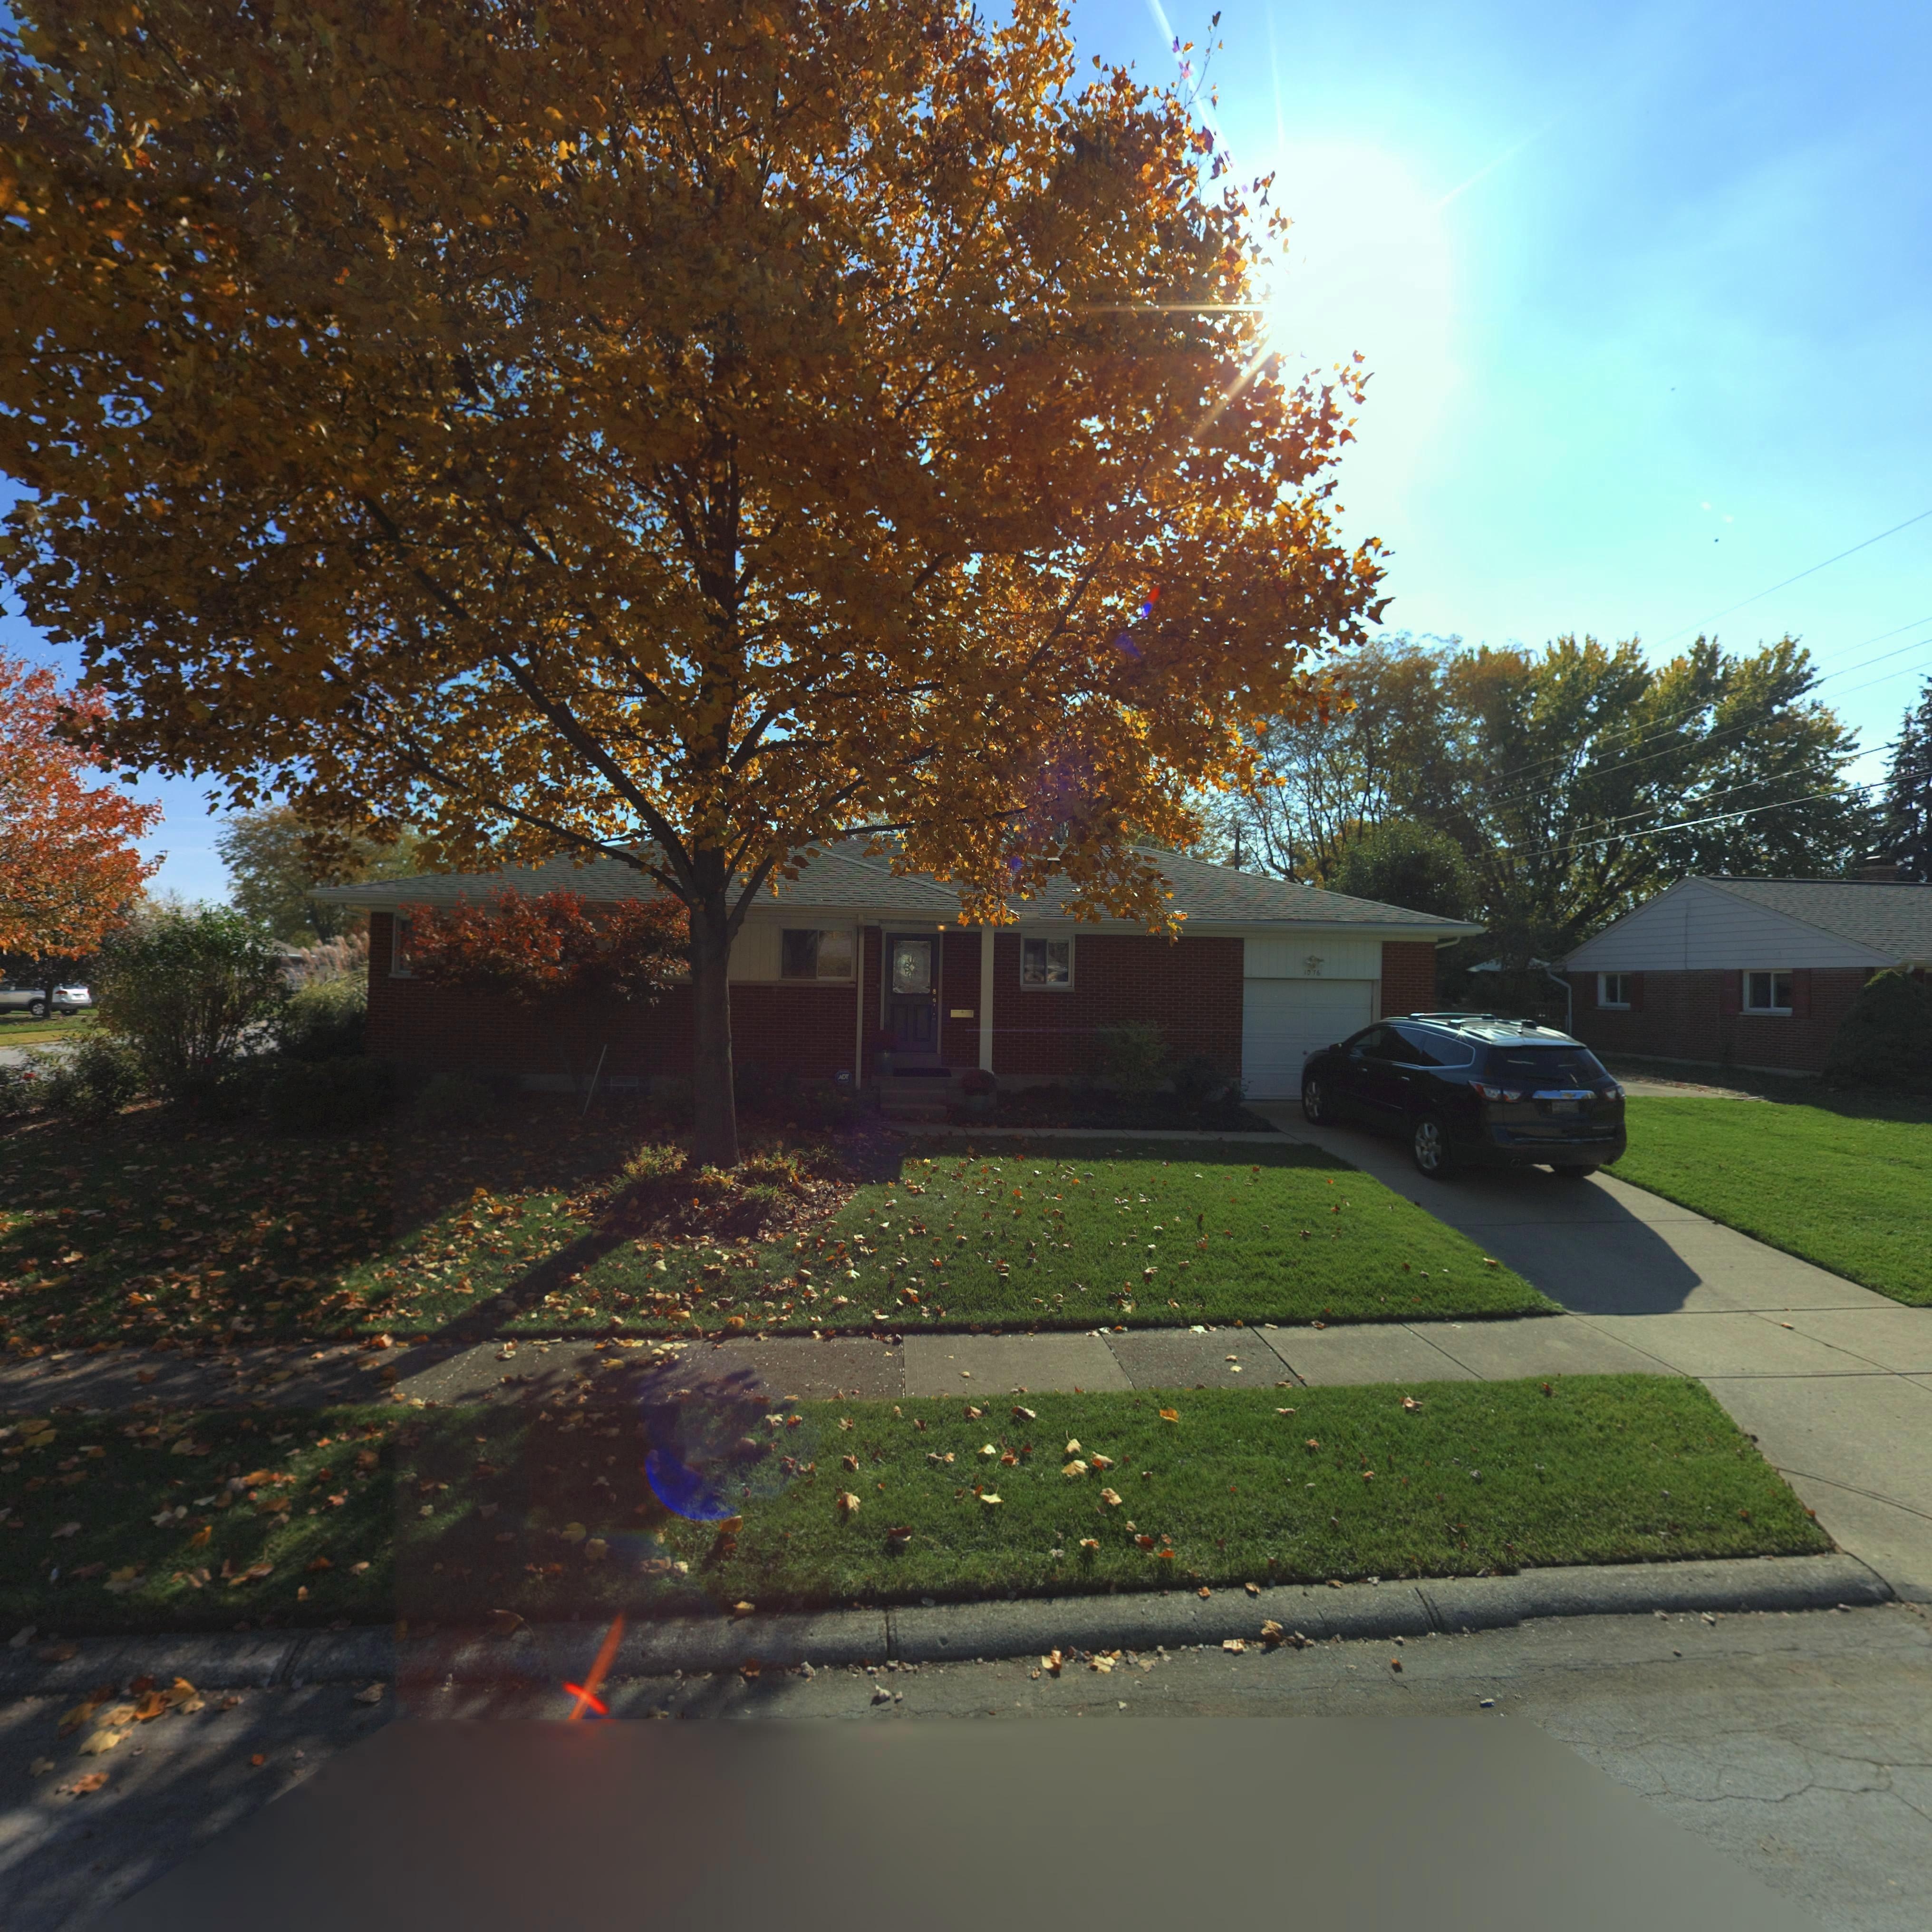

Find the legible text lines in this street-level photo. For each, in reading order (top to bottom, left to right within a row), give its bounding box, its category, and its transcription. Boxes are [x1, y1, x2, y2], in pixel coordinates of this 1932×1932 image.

[1304, 969, 1320, 976] StreetNumber: 1076
[837, 1073, 850, 1080] None: ADT